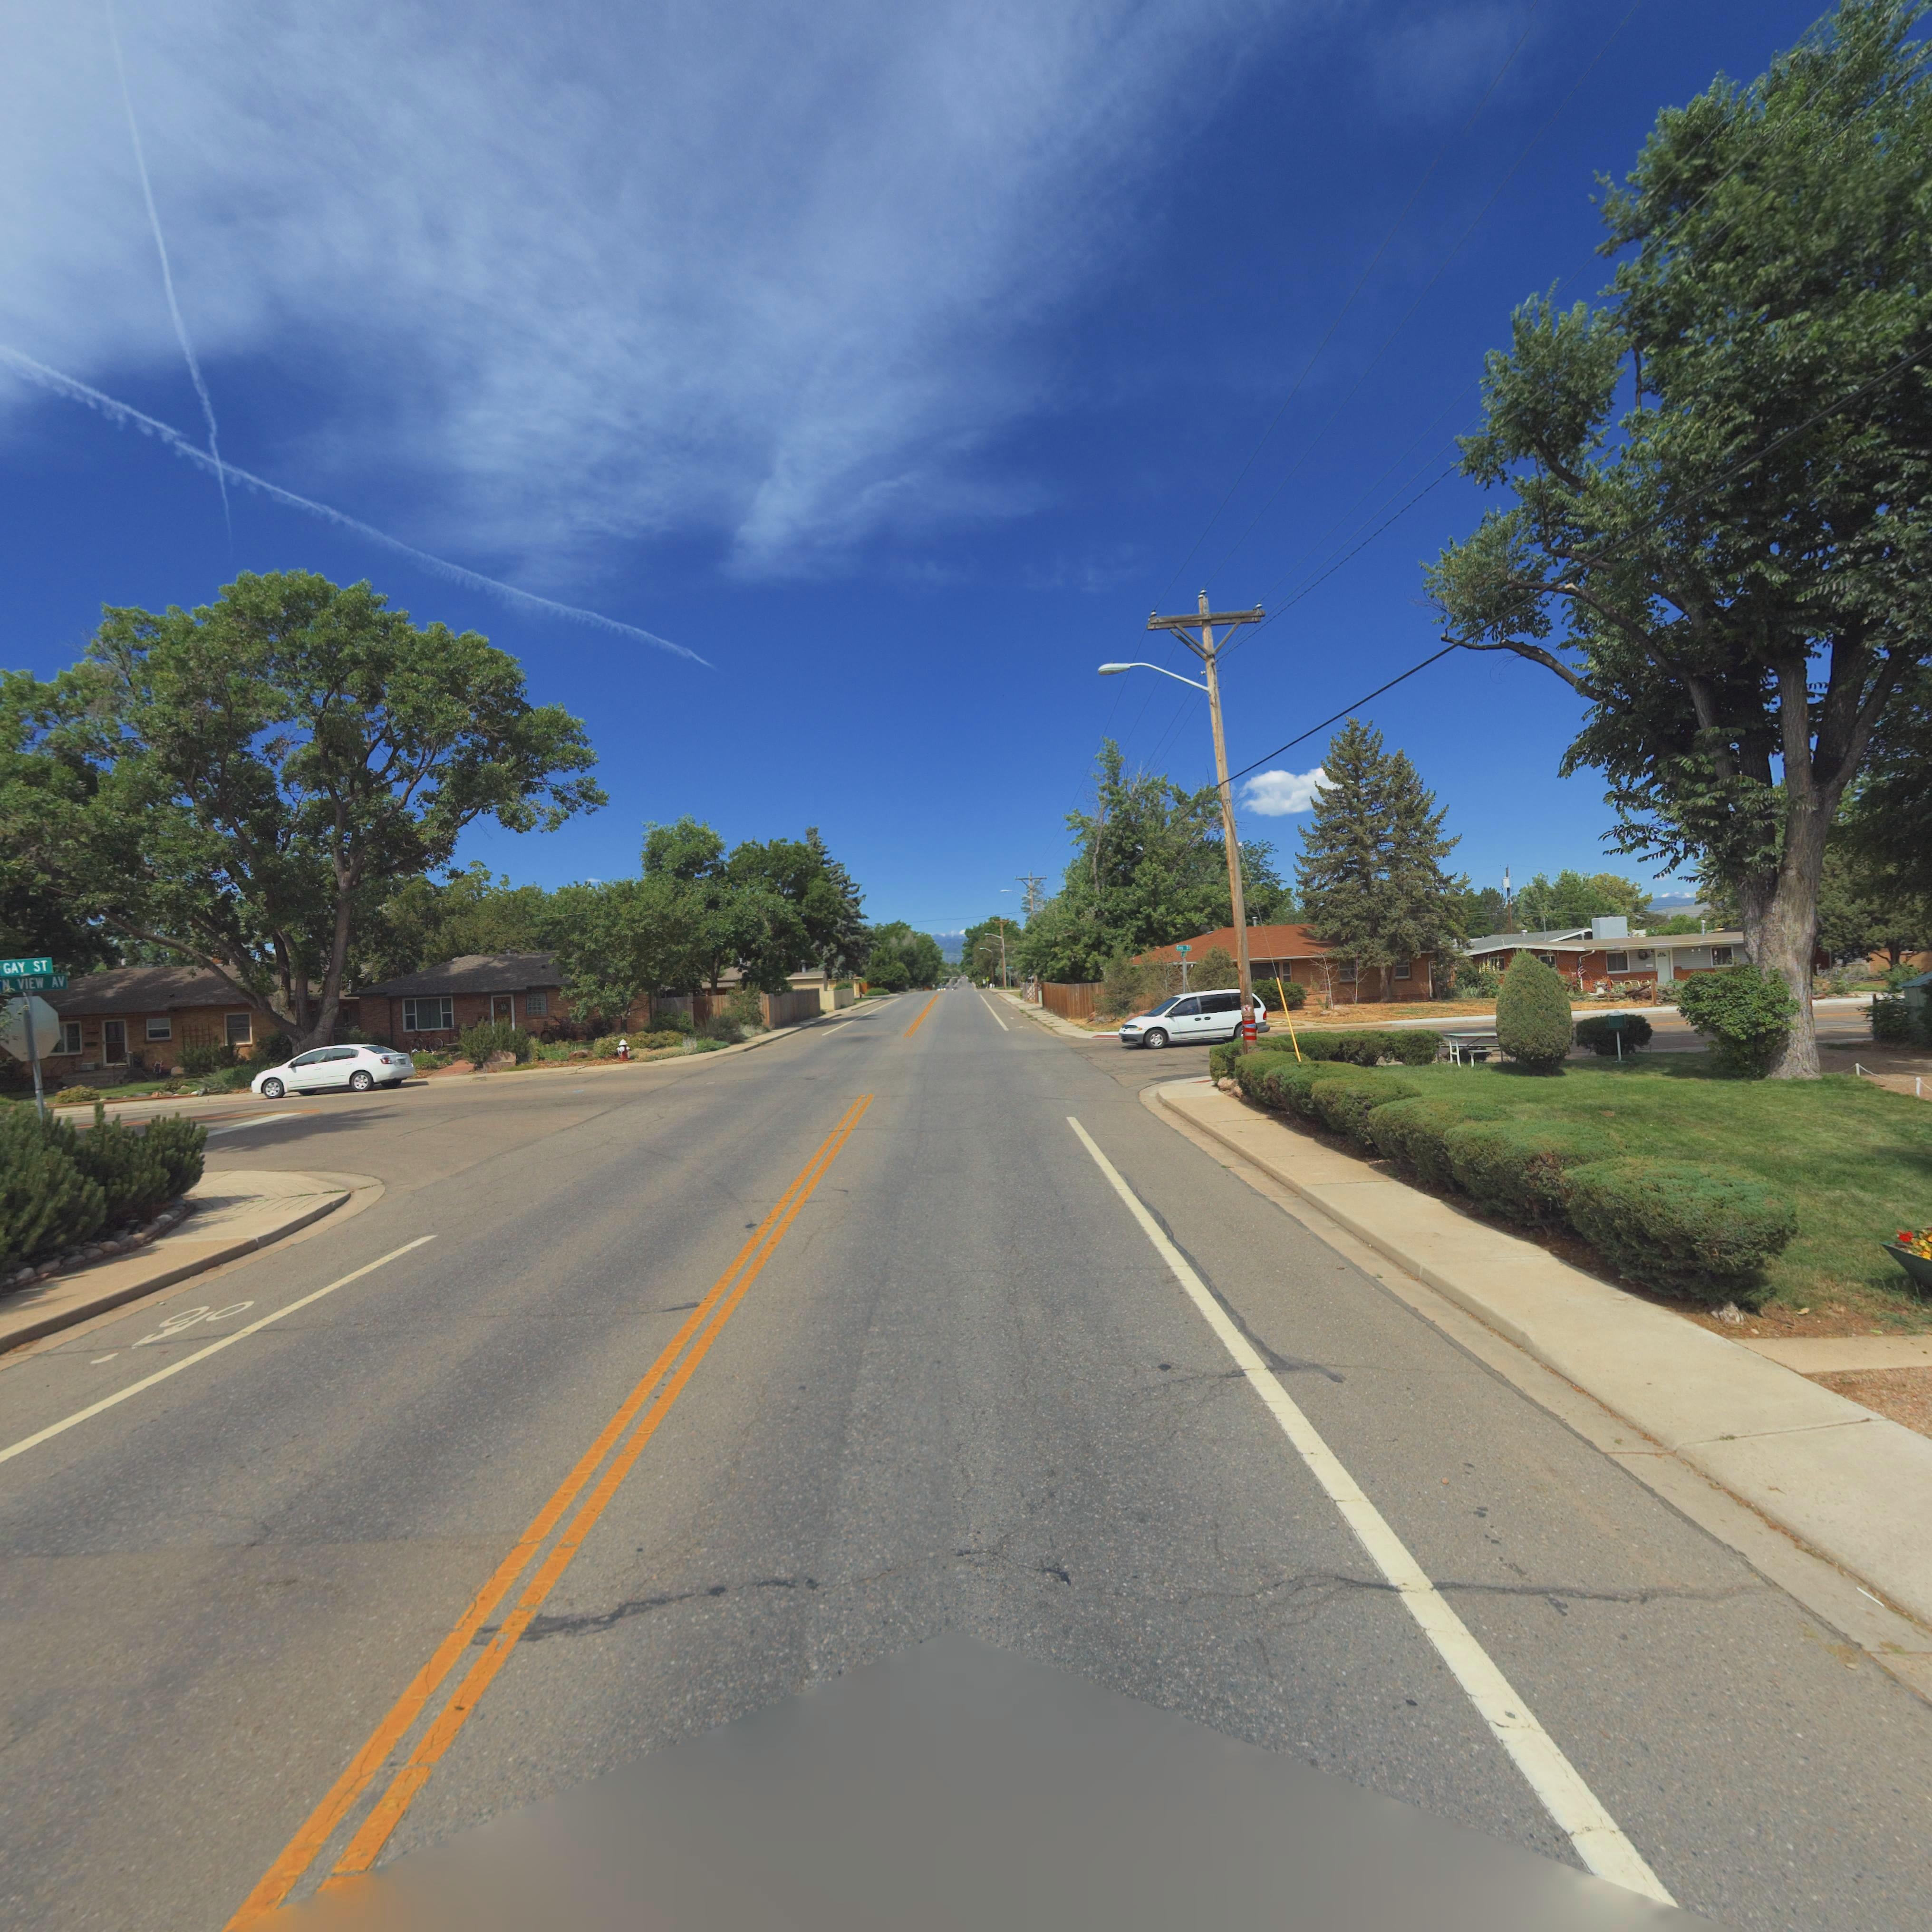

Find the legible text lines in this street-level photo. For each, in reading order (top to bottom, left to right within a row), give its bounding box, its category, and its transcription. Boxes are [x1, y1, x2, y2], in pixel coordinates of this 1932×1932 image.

[1176, 945, 1190, 951] StreetName: Gay St
[2, 959, 48, 974] StreetName: GAY ST
[1, 975, 66, 992] StreetName: N VIEW AV